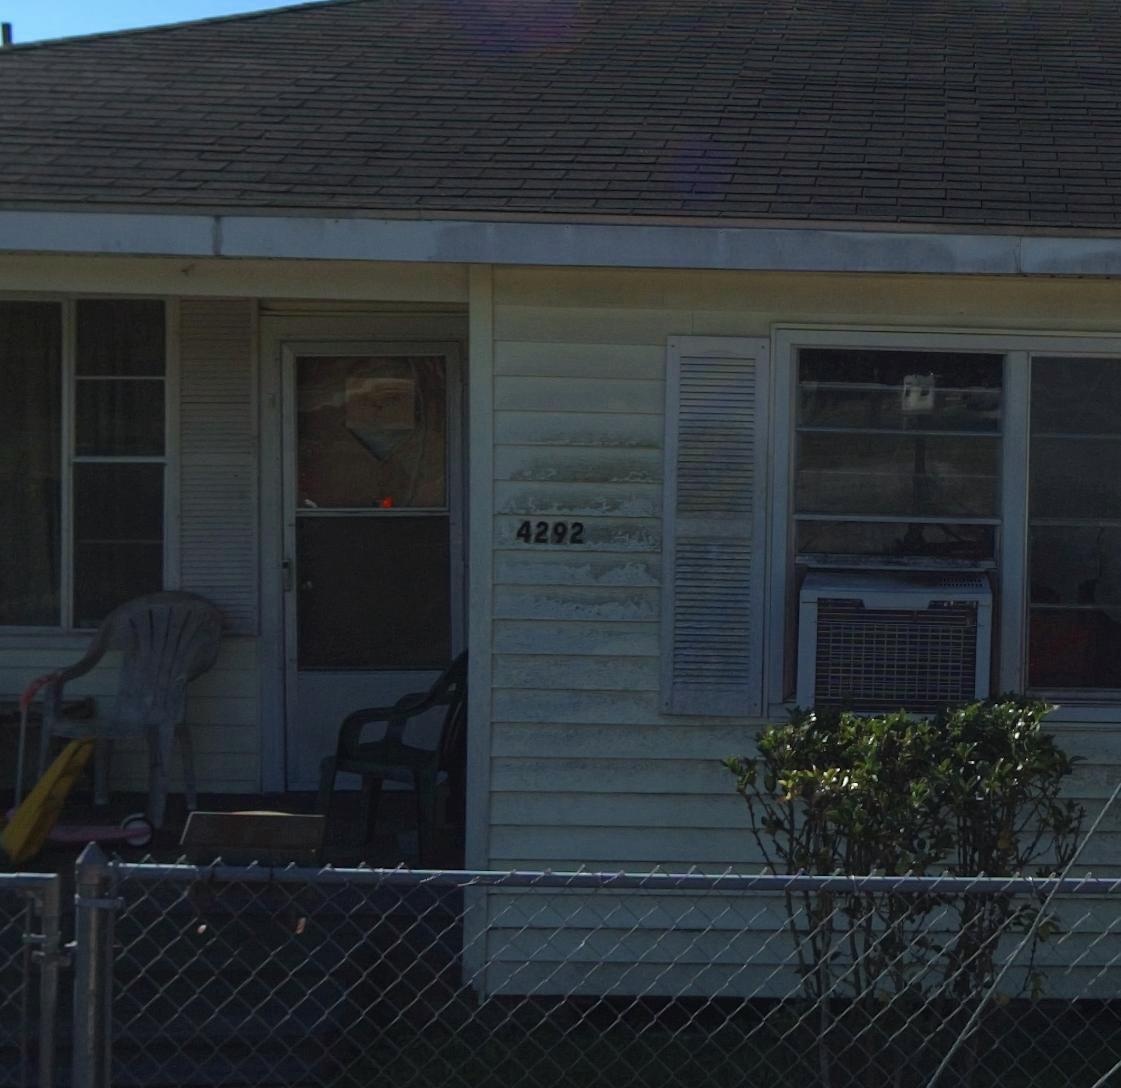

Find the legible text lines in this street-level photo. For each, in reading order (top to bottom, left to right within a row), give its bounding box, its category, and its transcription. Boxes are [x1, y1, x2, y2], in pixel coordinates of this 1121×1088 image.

[513, 517, 587, 547] StreetNumber: 4292